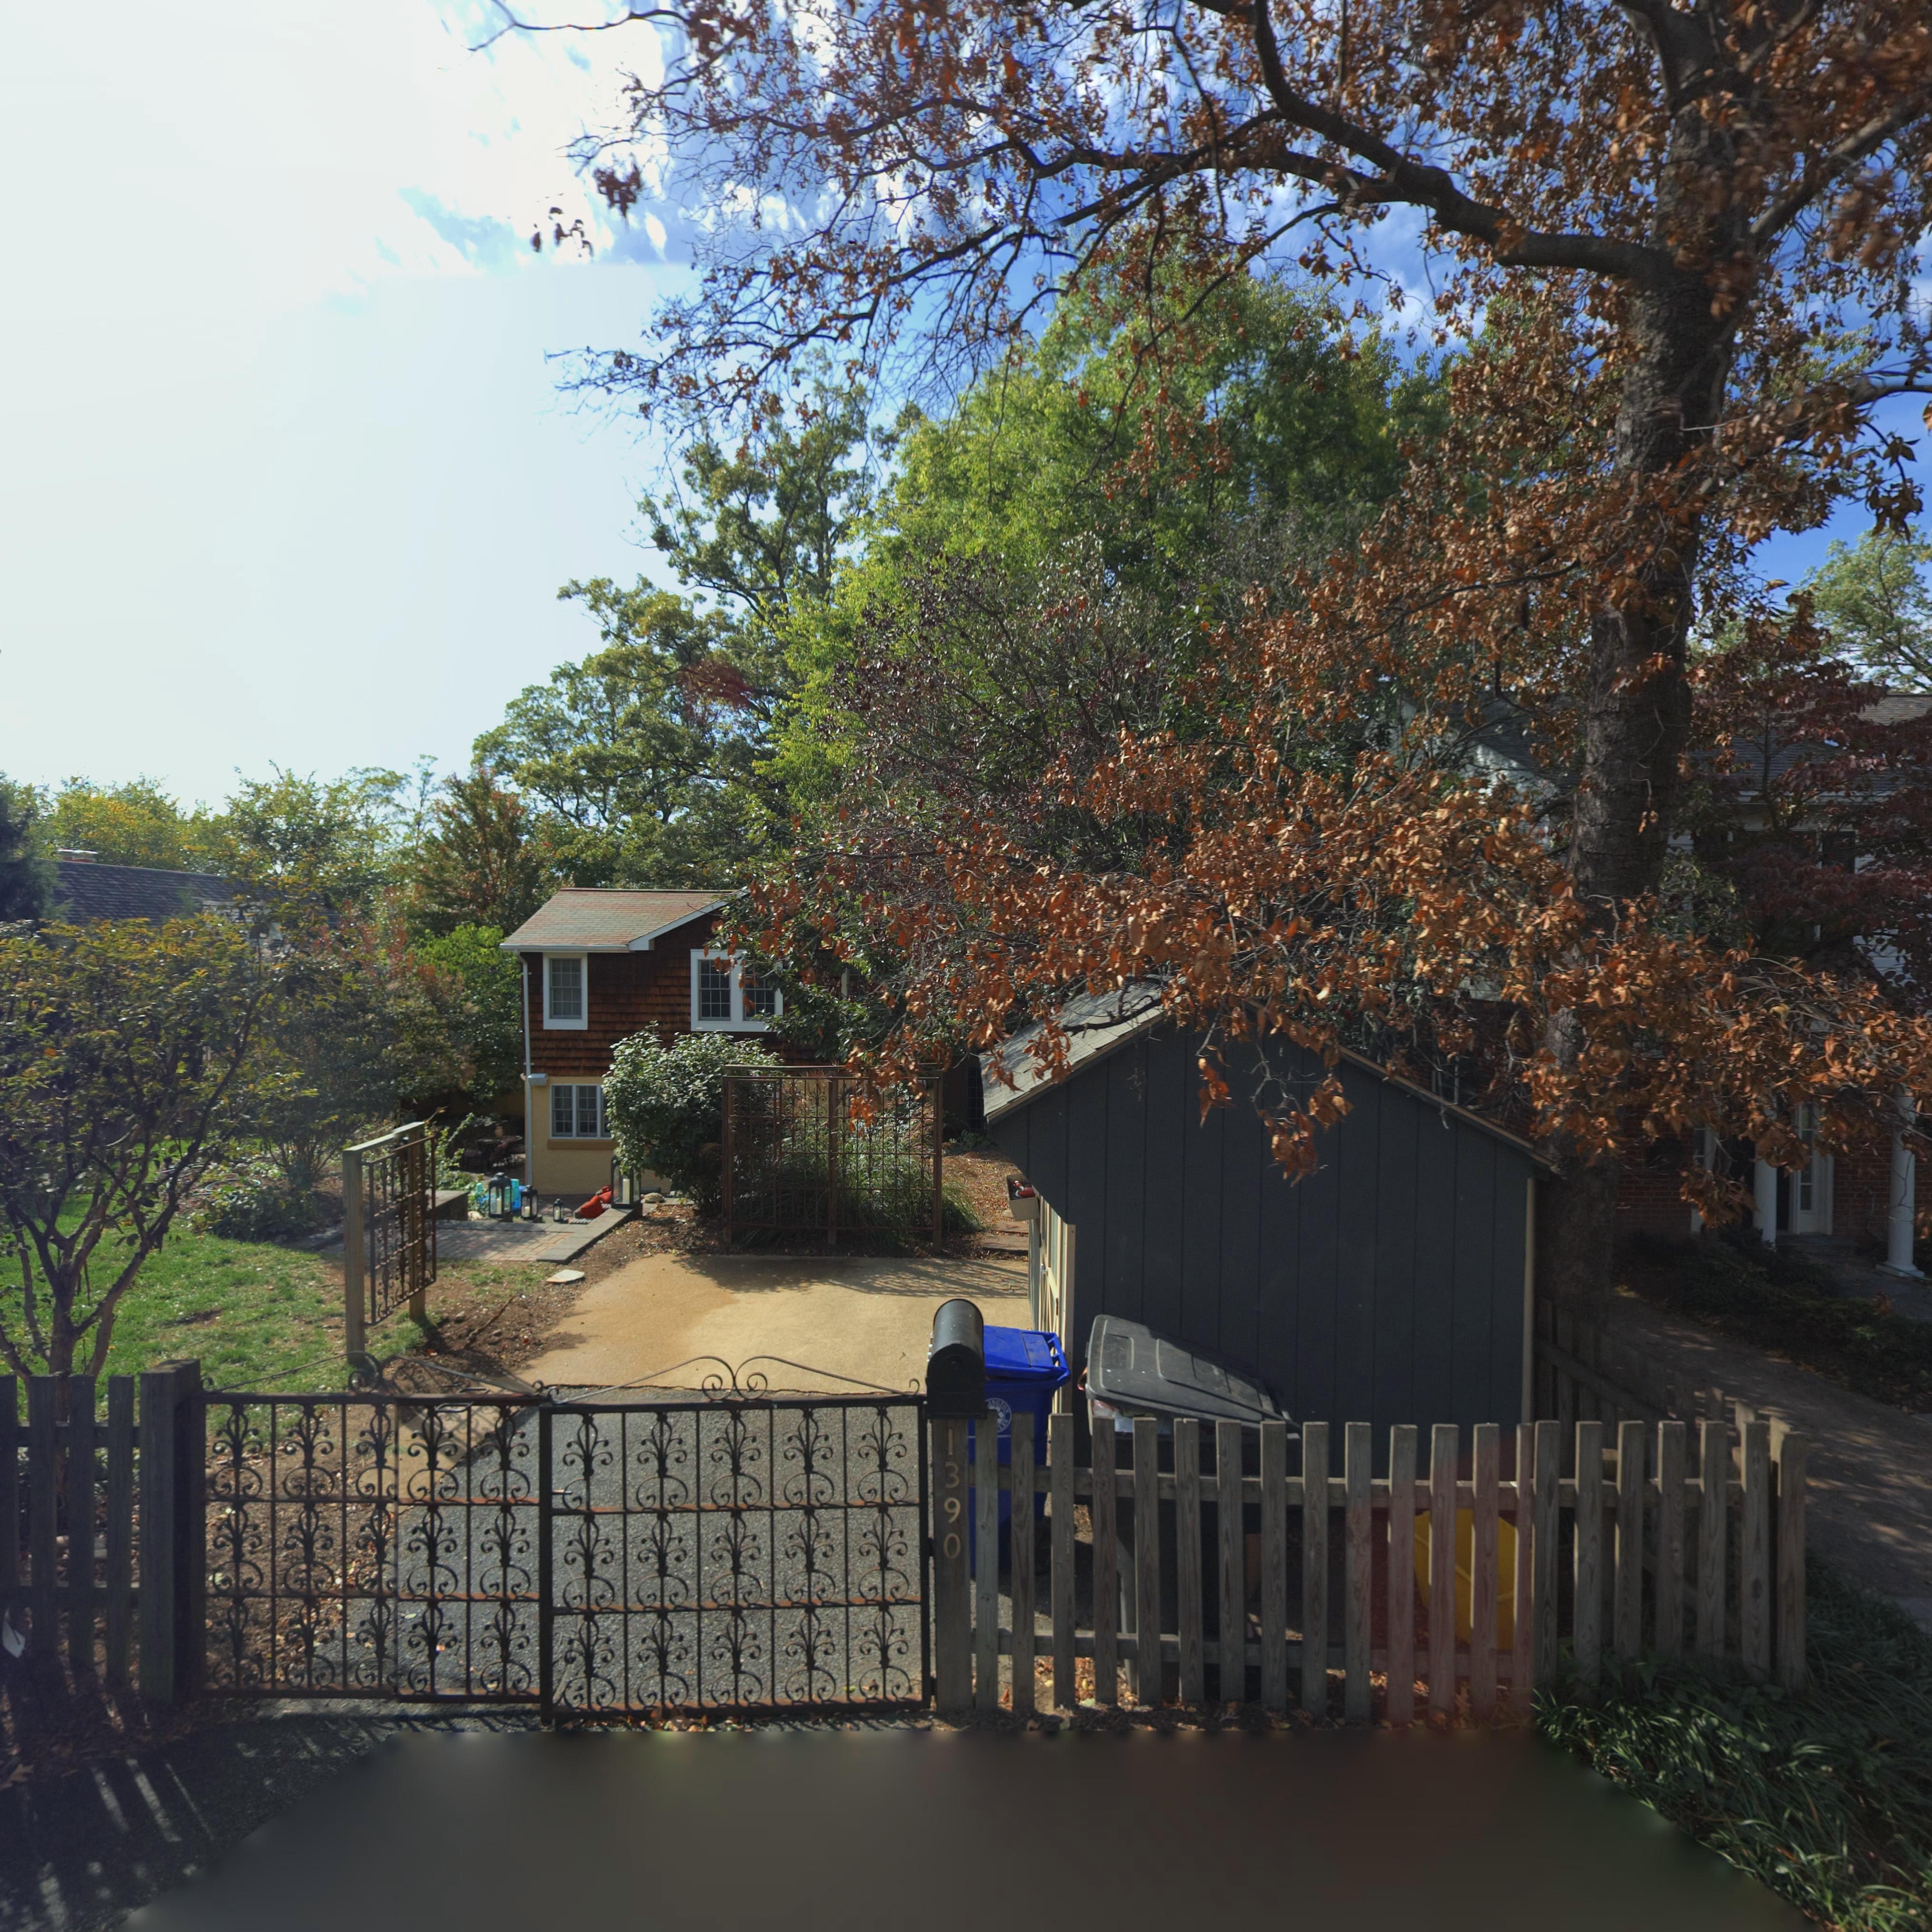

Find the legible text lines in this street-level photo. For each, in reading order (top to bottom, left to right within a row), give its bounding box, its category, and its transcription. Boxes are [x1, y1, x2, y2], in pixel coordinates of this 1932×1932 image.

[940, 1424, 964, 1565] StreetNumber: 1390